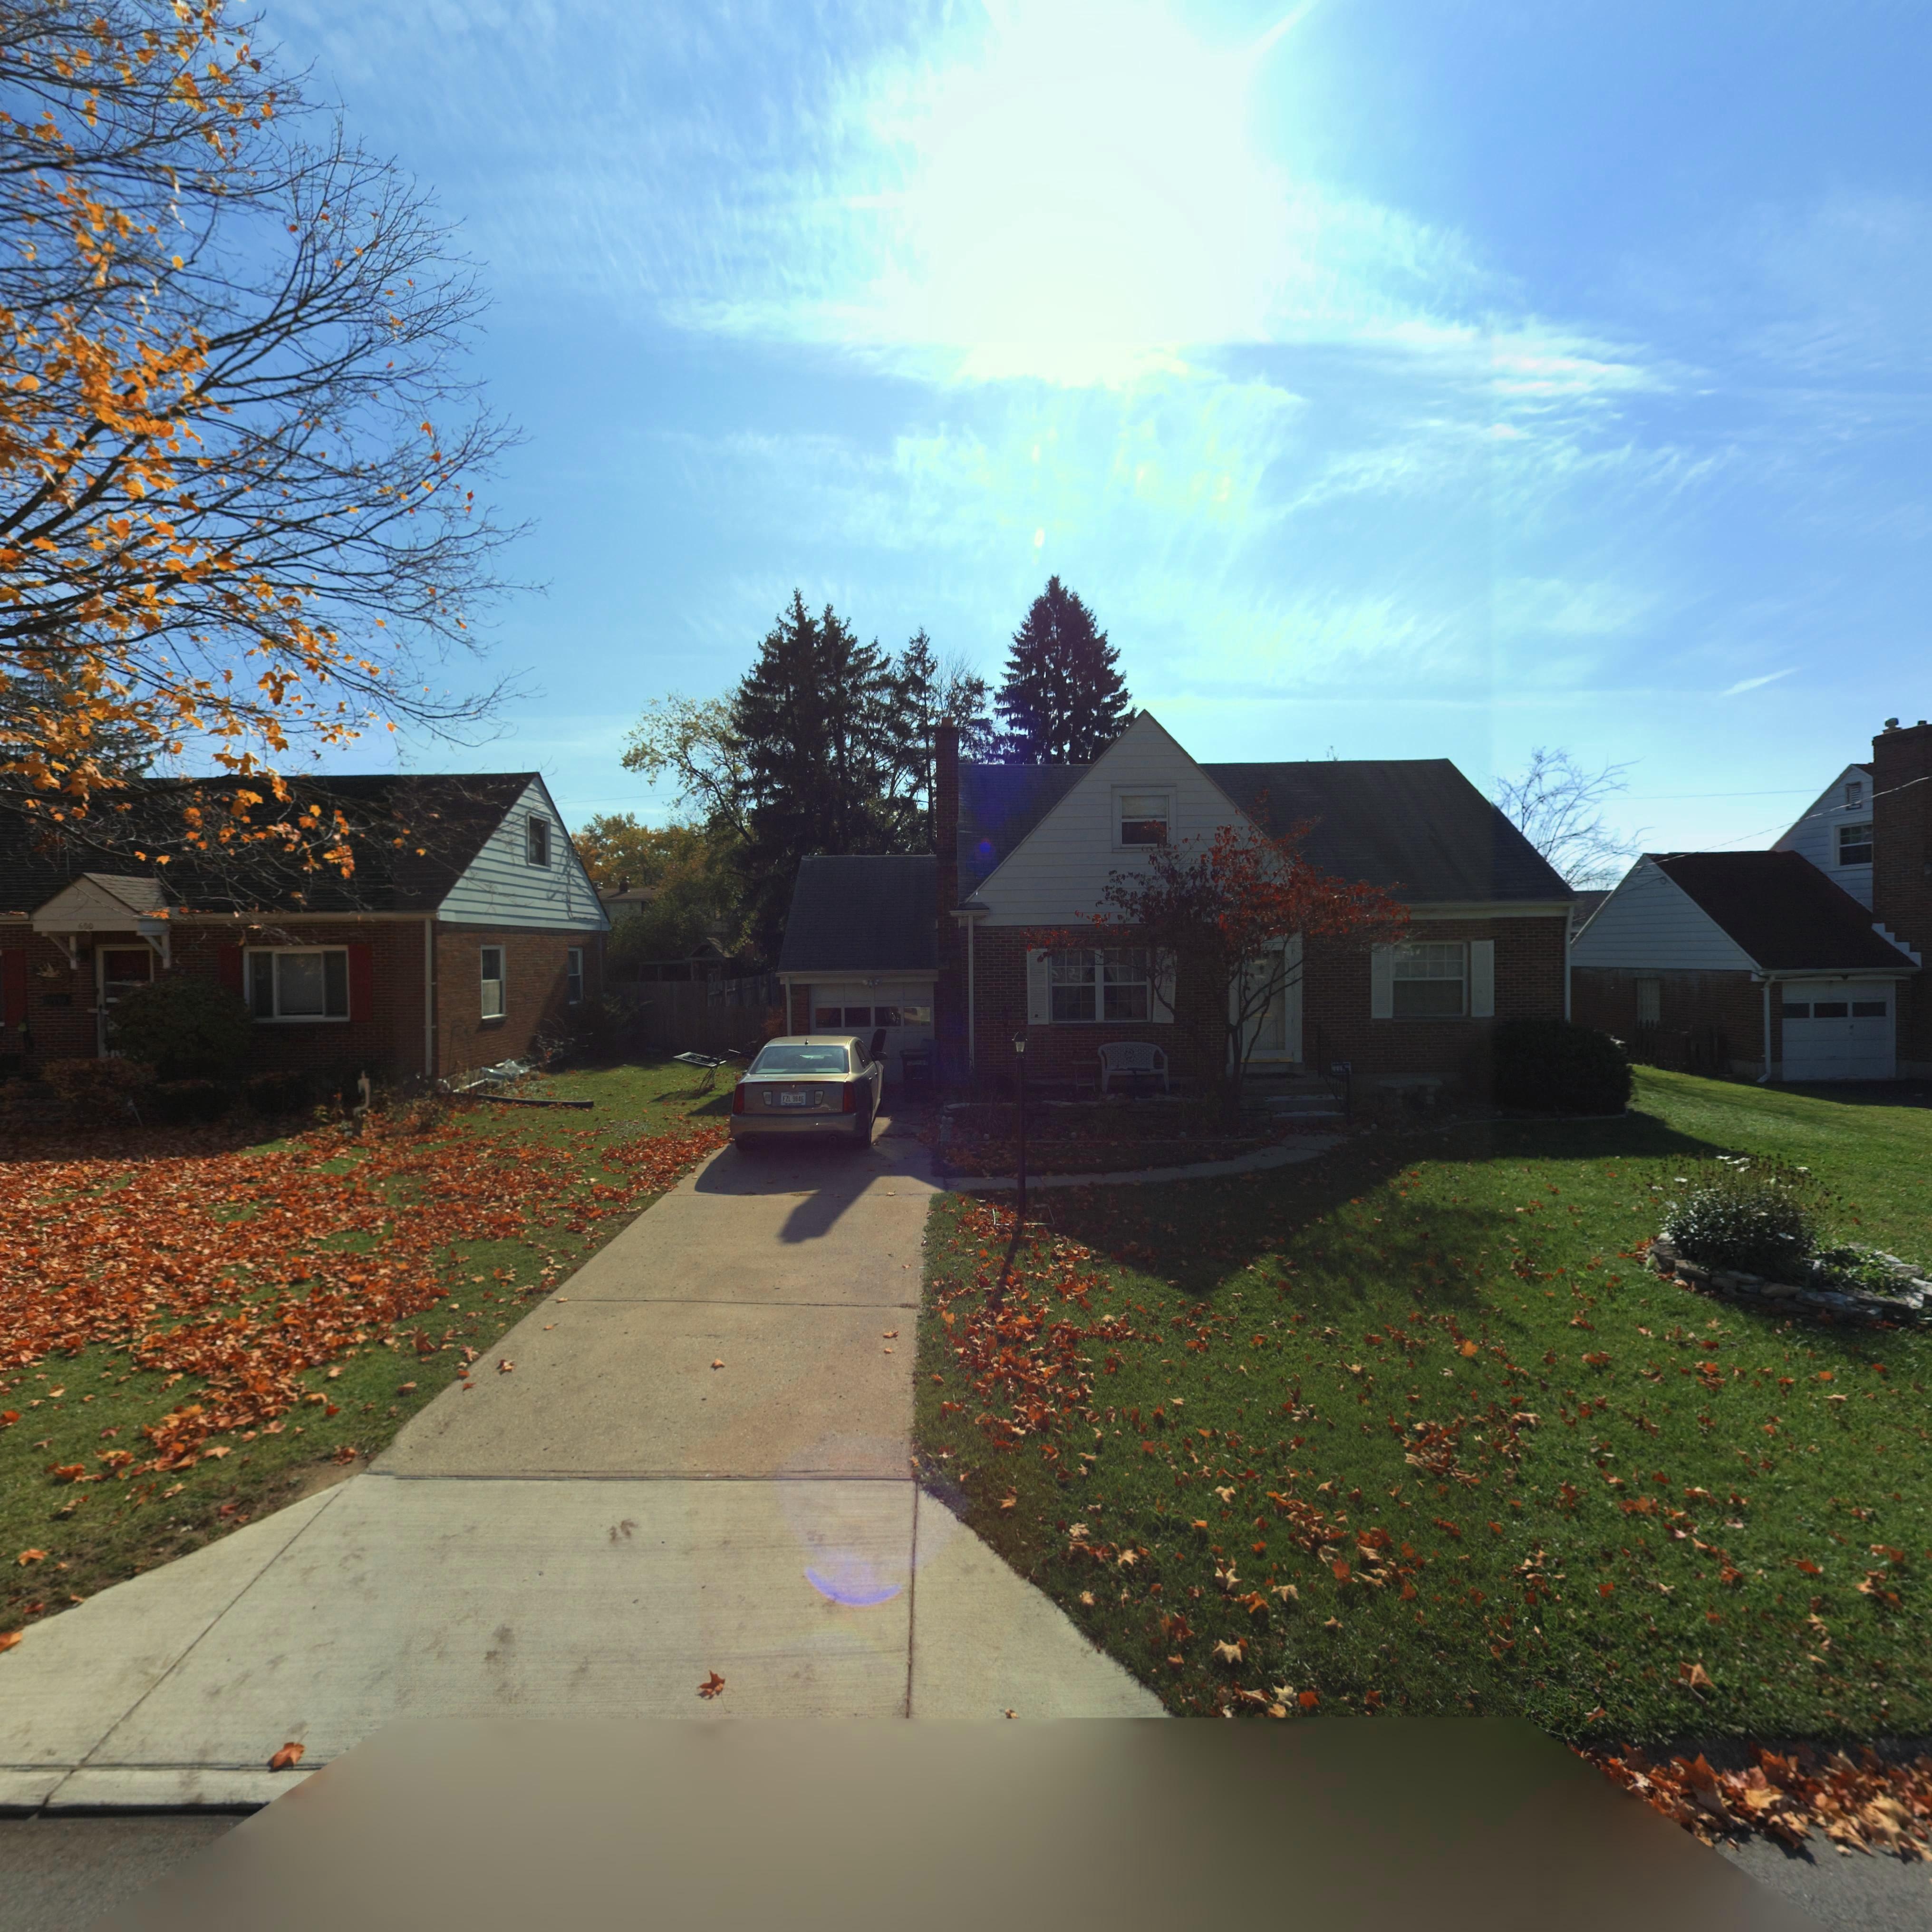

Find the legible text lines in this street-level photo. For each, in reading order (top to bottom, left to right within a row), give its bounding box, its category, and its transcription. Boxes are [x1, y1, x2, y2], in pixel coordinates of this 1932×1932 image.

[77, 922, 94, 929] StreetNumber: 6*0
[782, 1095, 804, 1102] None: FZL*9846